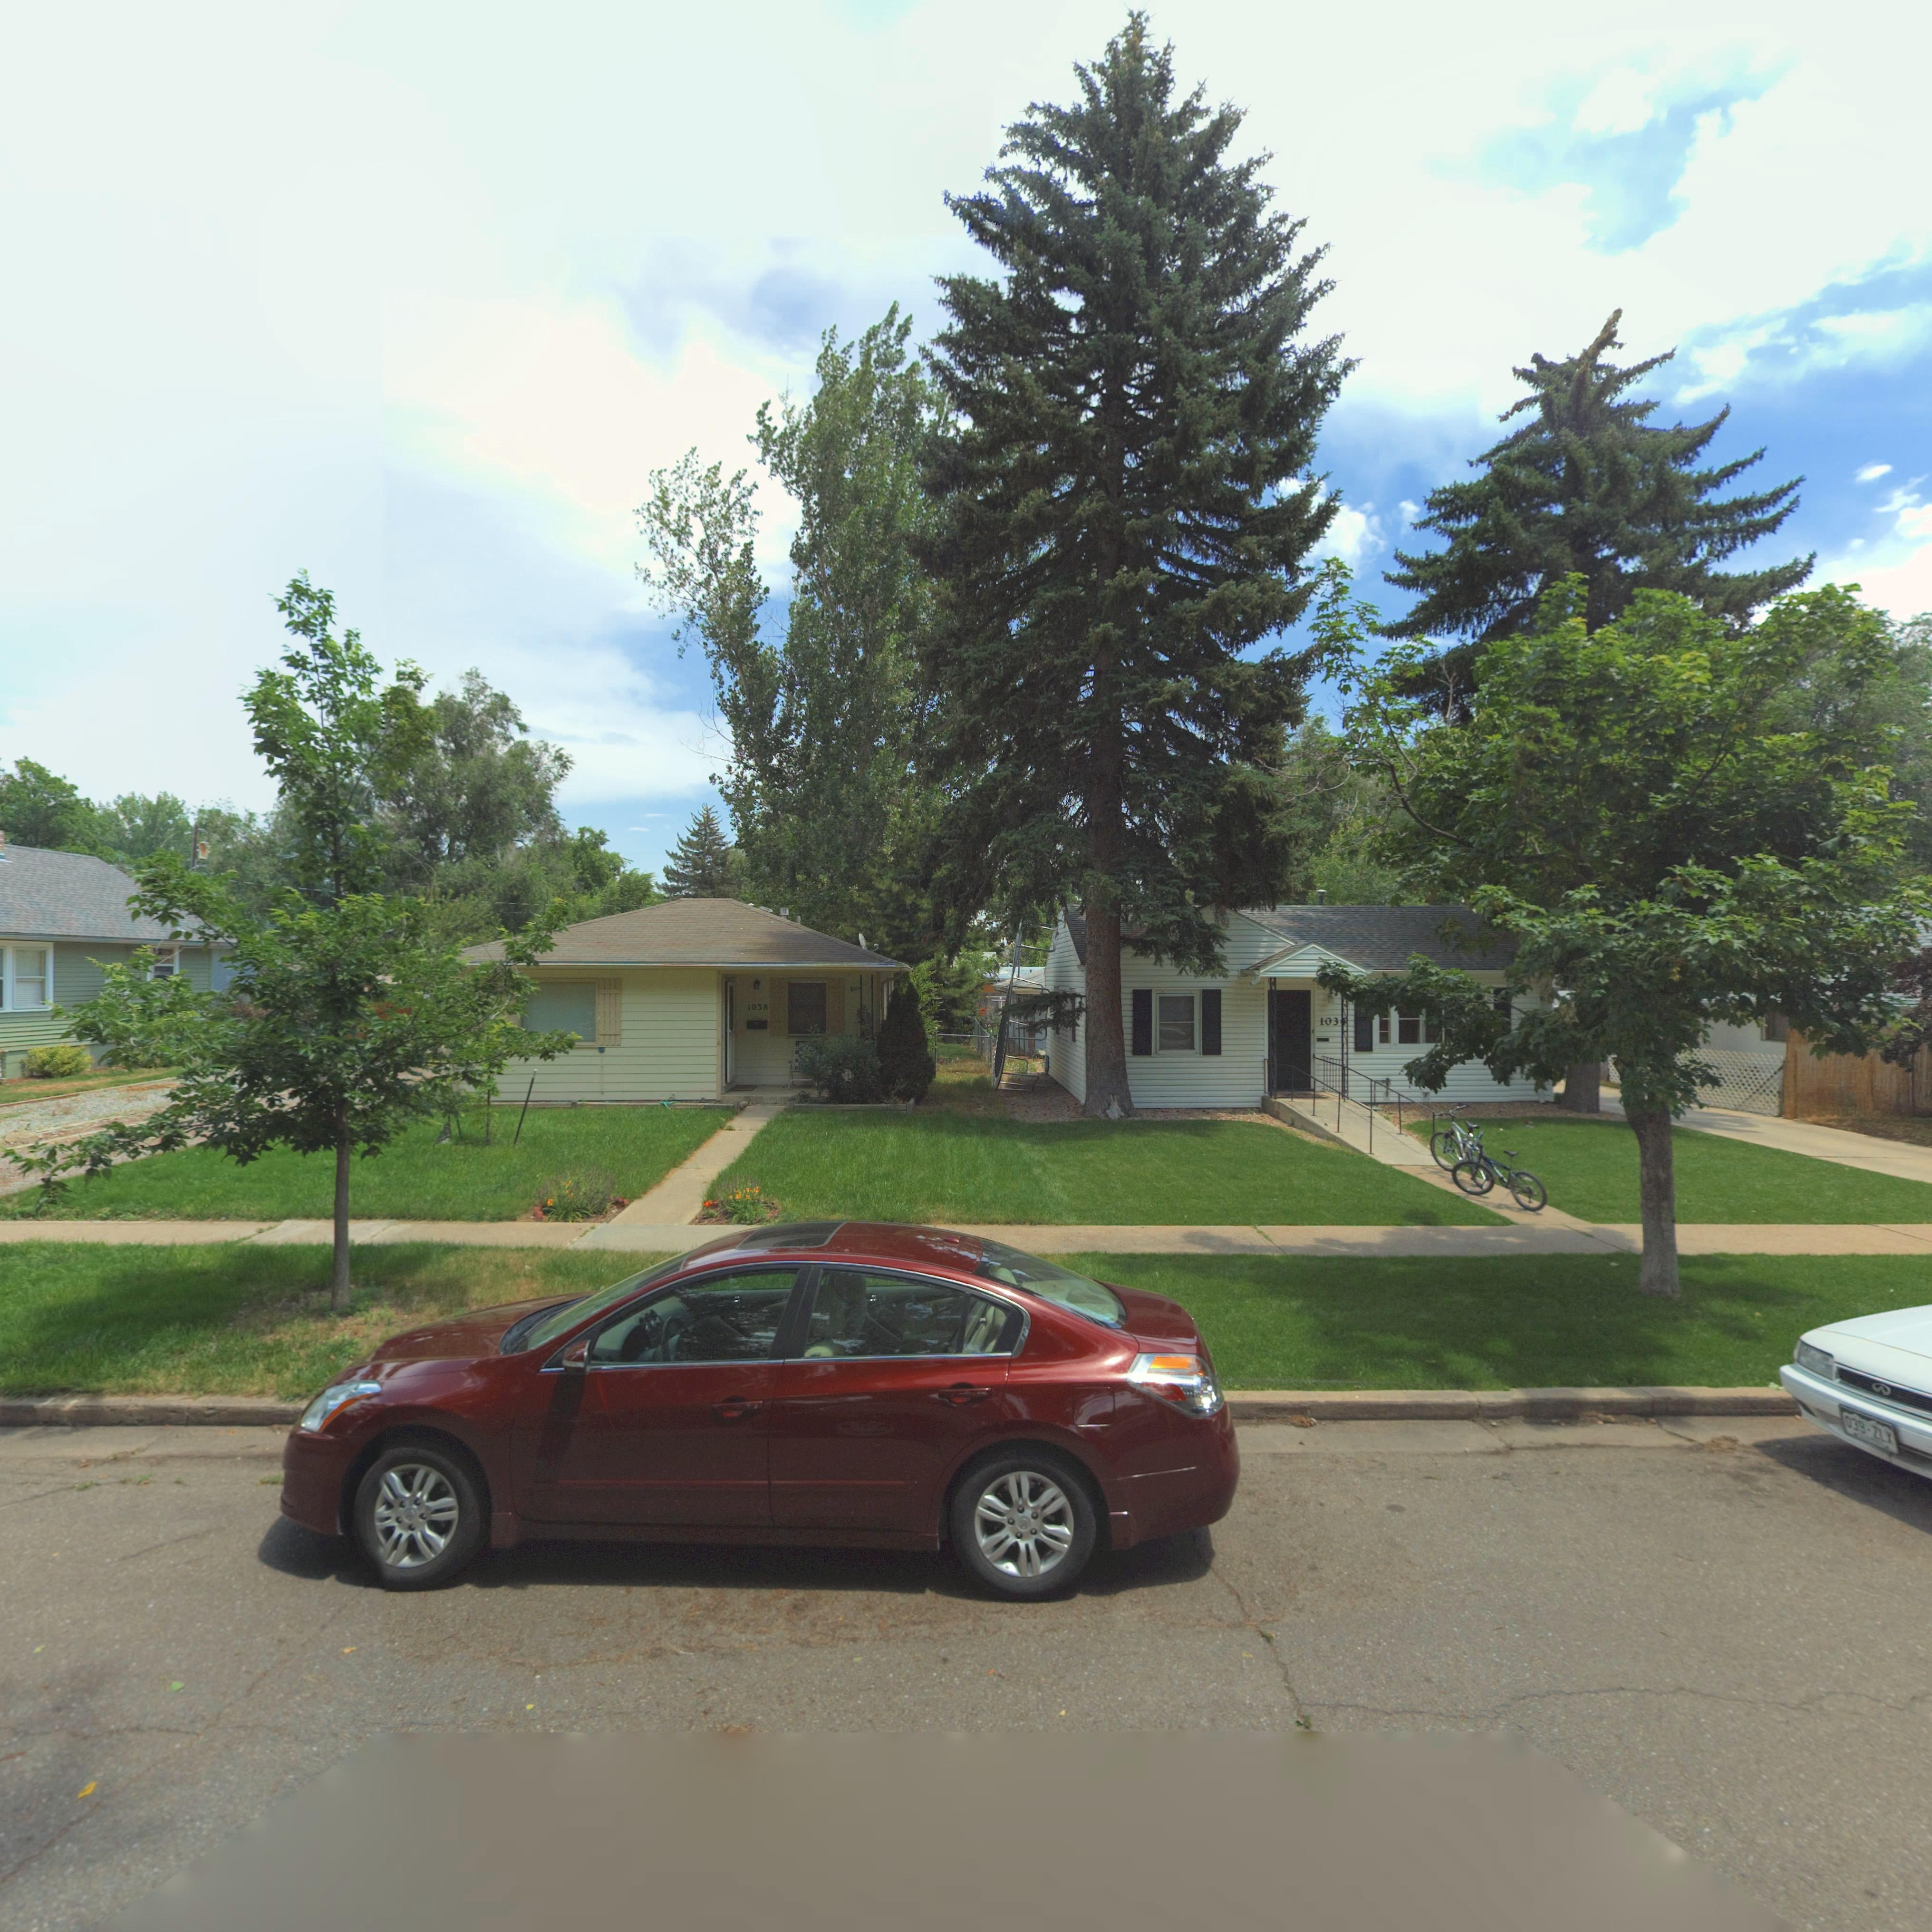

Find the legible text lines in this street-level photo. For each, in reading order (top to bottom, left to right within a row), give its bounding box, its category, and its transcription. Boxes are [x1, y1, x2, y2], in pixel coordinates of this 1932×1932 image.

[748, 1003, 768, 1010] StreetNumber: 1038
[1319, 1017, 1338, 1025] StreetNumber: 103